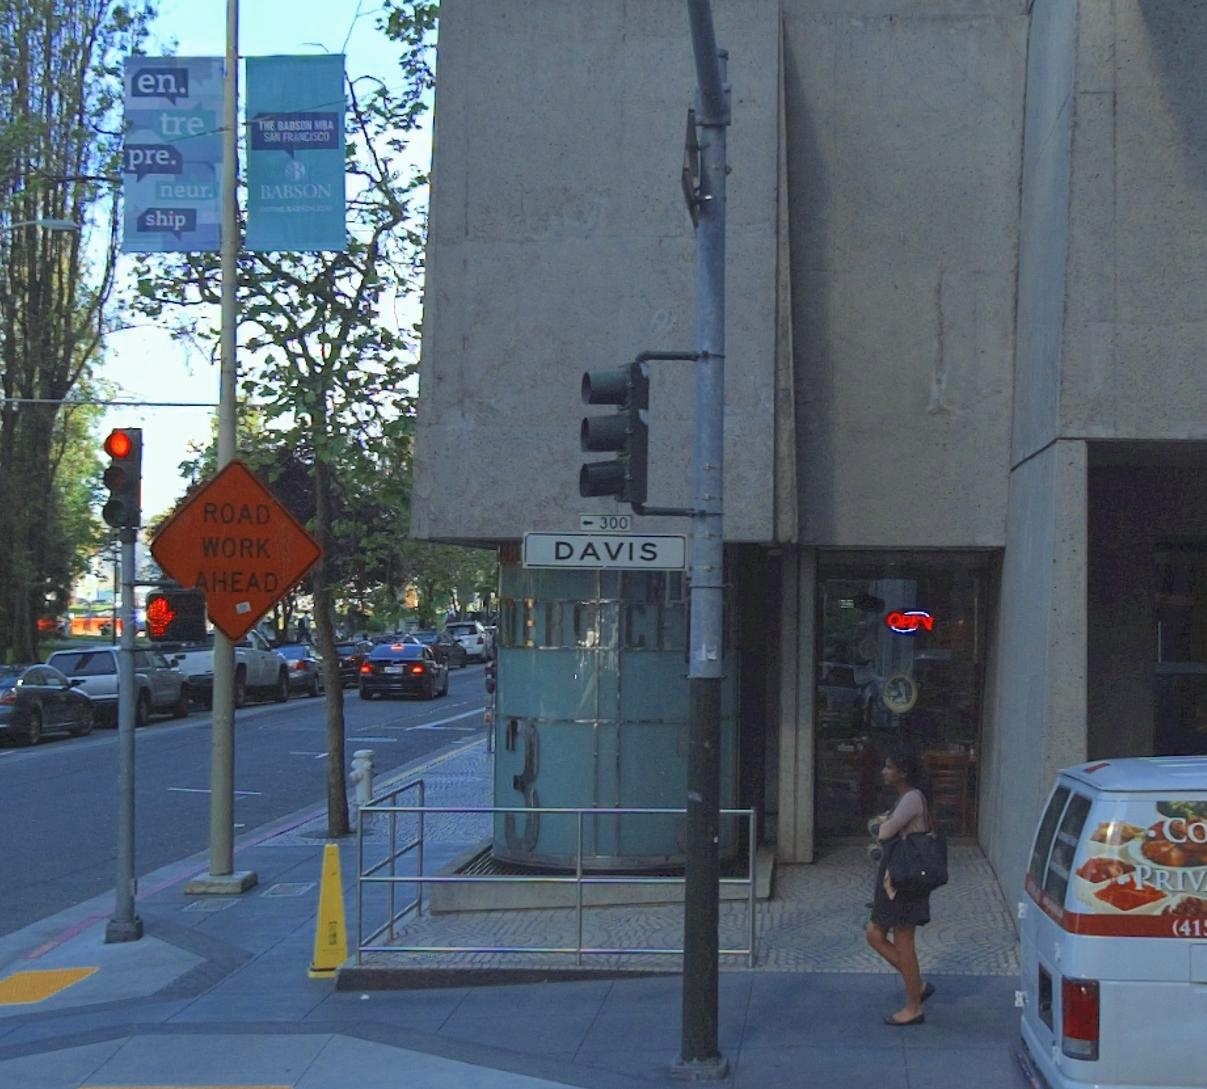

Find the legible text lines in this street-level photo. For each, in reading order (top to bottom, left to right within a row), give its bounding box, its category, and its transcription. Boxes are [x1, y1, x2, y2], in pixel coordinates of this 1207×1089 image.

[135, 71, 189, 96] None: en.
[157, 110, 208, 138] None: tre
[125, 147, 180, 173] None: pre'
[157, 183, 216, 200] None: neur.
[257, 180, 334, 204] None: BABSON
[142, 208, 190, 233] None: ship
[200, 500, 273, 527] None: ROAD
[581, 514, 630, 532] StreetNumberRange: <-300
[199, 534, 275, 562] None: WORK
[552, 539, 660, 564] StreetName: DAVIS
[210, 568, 281, 596] None: HEAD
[520, 597, 649, 651] BusinessName: ER*C
[500, 714, 546, 858] StreetNumber: 3
[1159, 814, 1191, 847] None: C
[1133, 862, 1207, 894] None: PRIV
[1169, 916, 1203, 940] None: (41